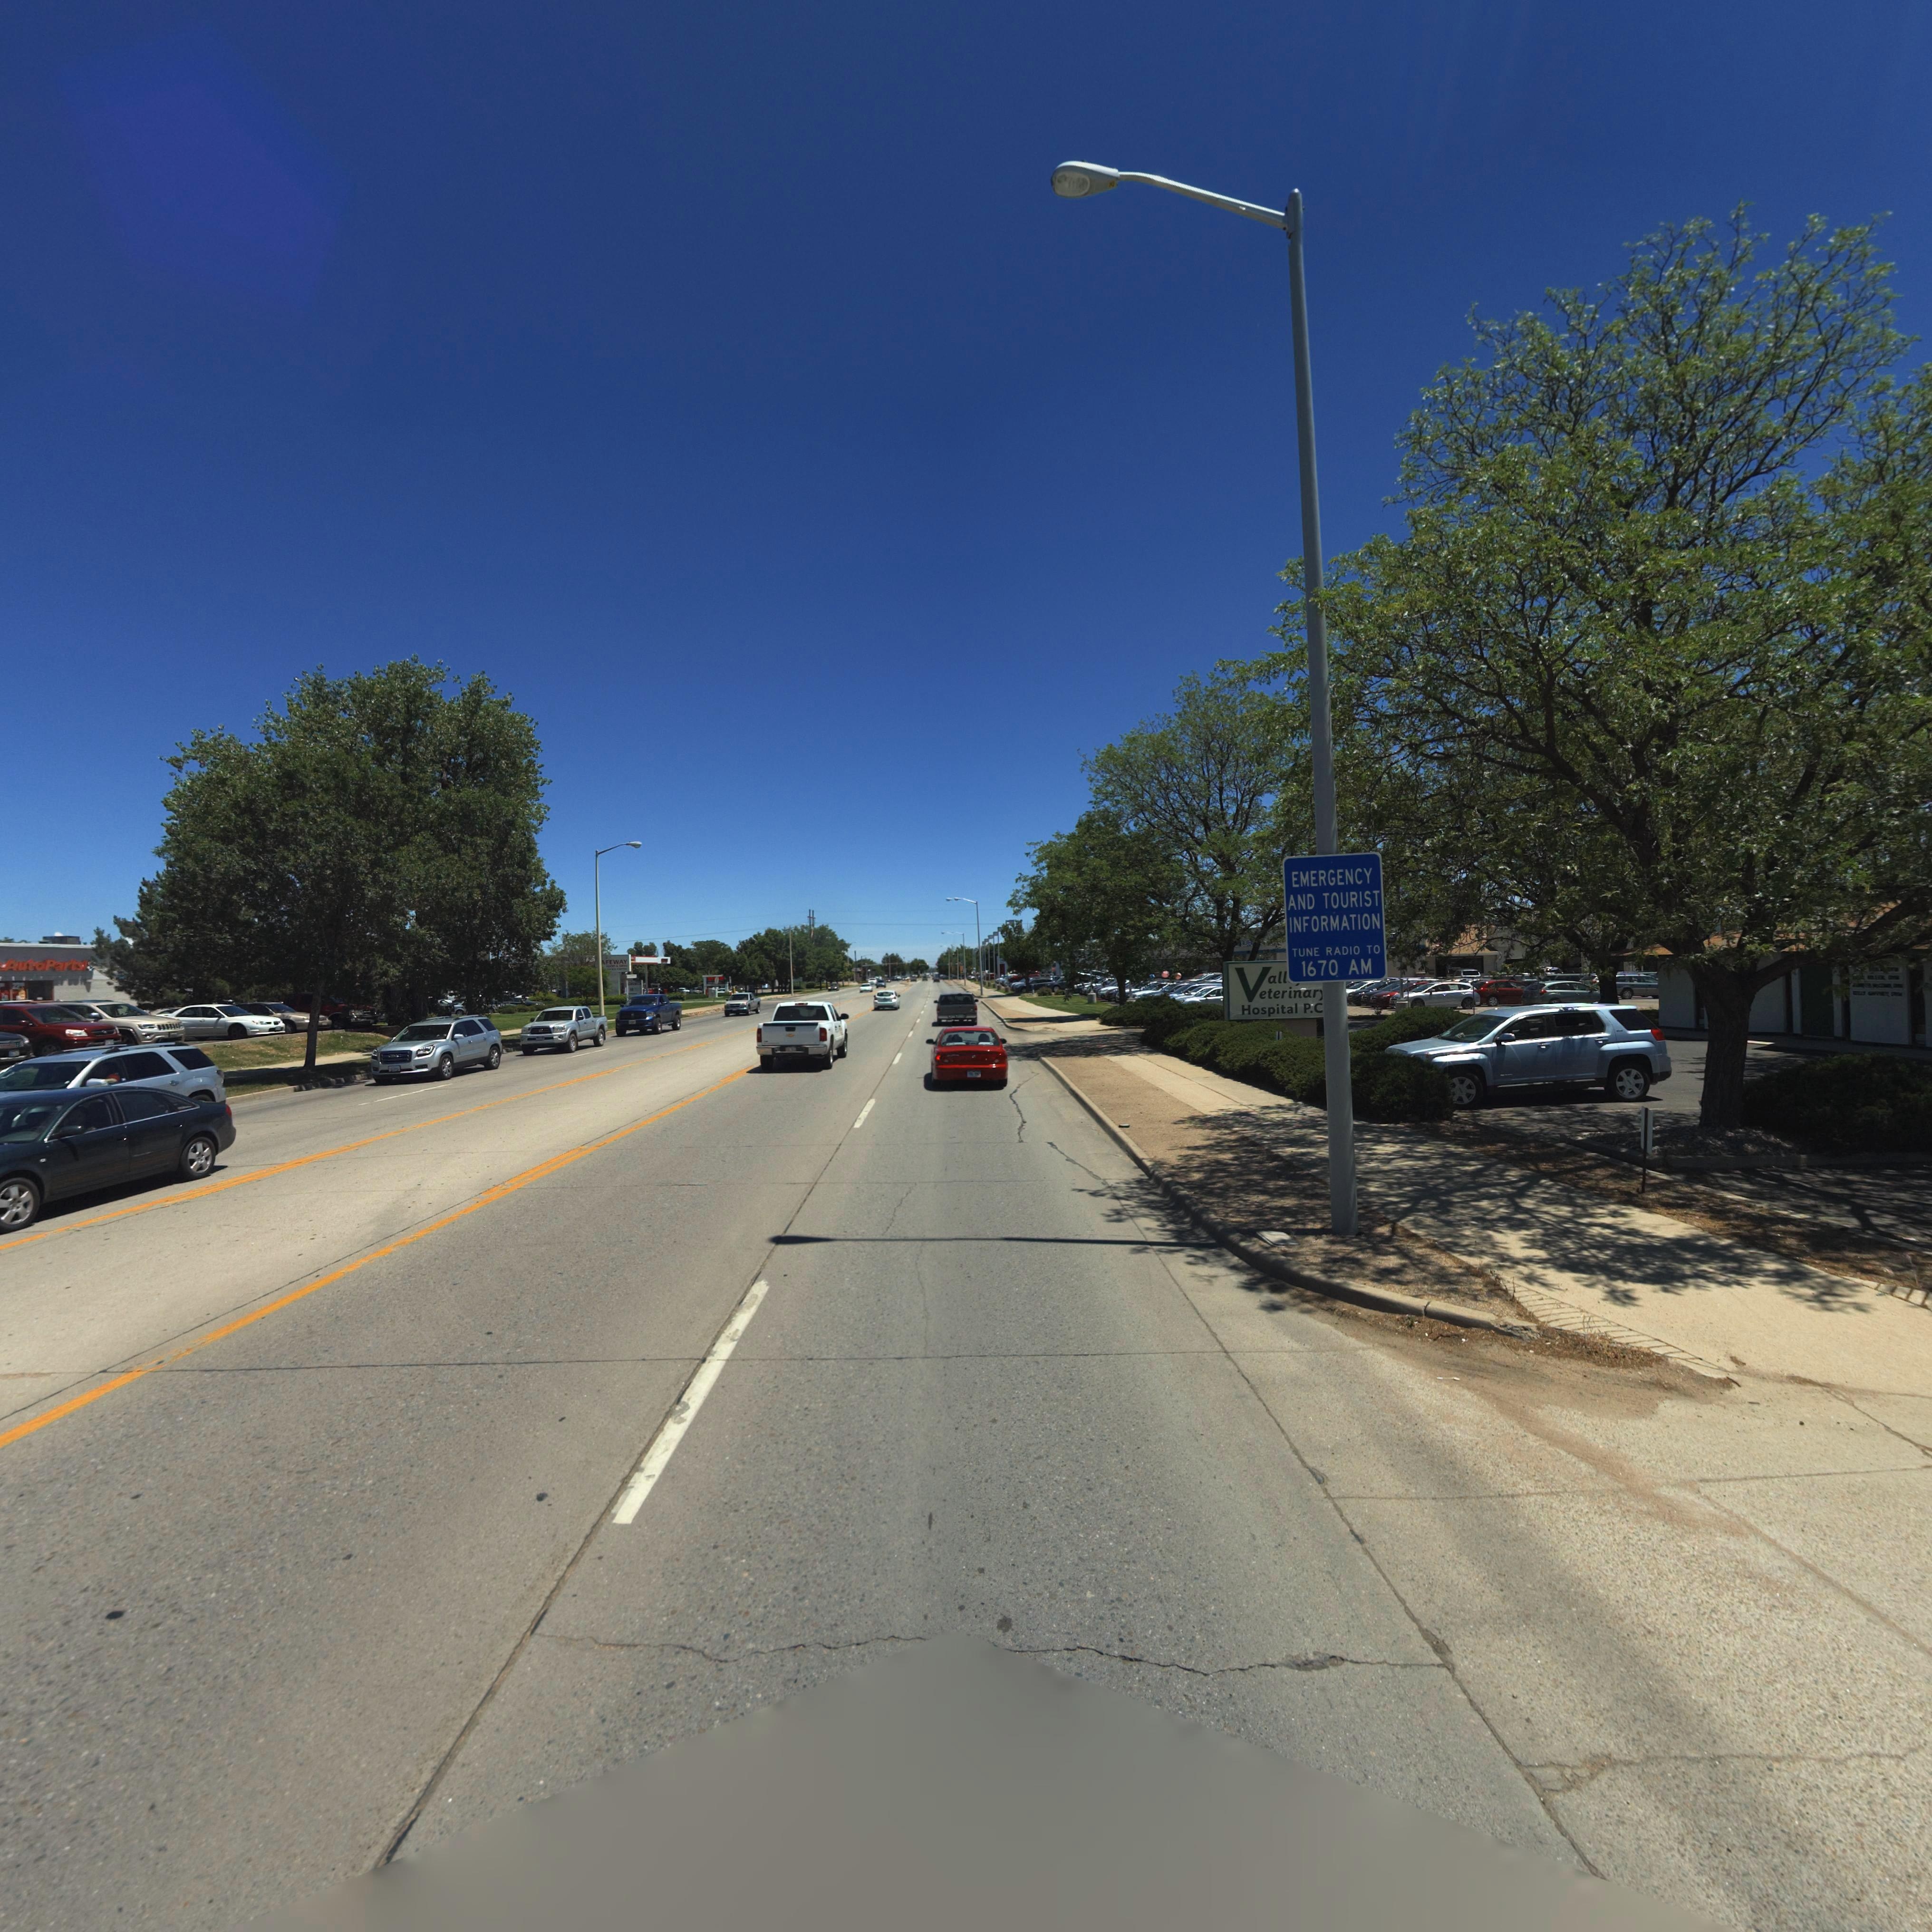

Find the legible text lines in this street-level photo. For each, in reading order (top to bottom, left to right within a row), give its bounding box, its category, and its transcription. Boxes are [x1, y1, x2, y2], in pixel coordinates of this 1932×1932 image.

[0, 958, 84, 971] BusinessName: AutoParts
[606, 964, 615, 967] BusinessName: *OO*
[605, 959, 628, 964] BusinessName: FEWAY
[1267, 970, 1287, 985] BusinessName: all
[1233, 966, 1273, 1003] BusinessName: V
[1258, 985, 1320, 1000] BusinessName: eterinar
[1241, 1002, 1323, 1017] BusinessName: Hospital P.C